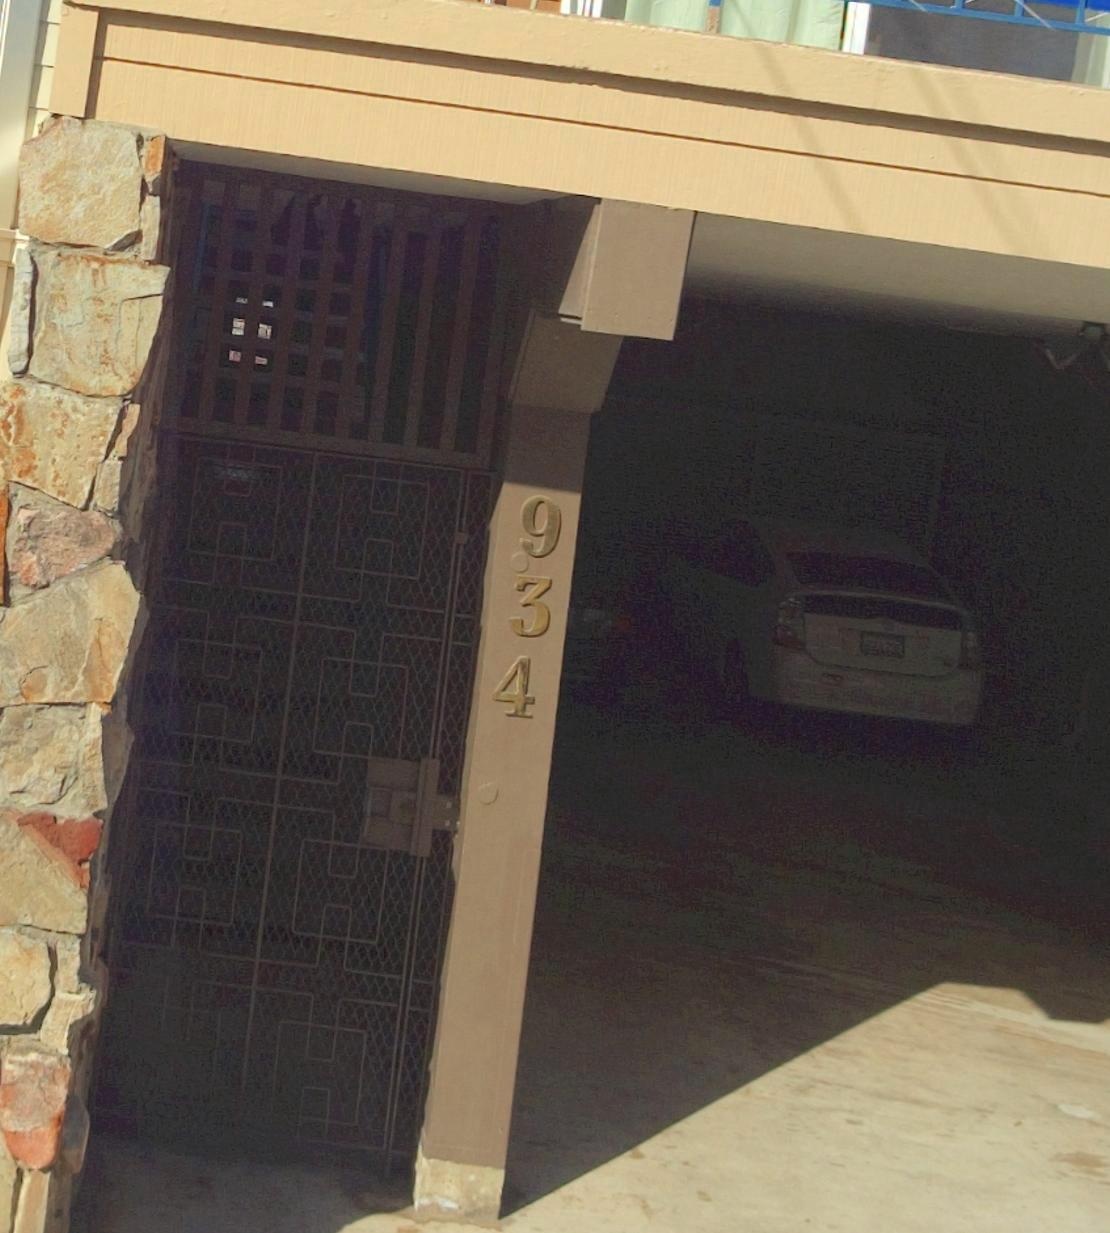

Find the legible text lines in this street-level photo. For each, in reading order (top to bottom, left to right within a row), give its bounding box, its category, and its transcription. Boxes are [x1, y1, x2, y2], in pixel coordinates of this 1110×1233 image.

[487, 492, 568, 721] StreetNumber: 934